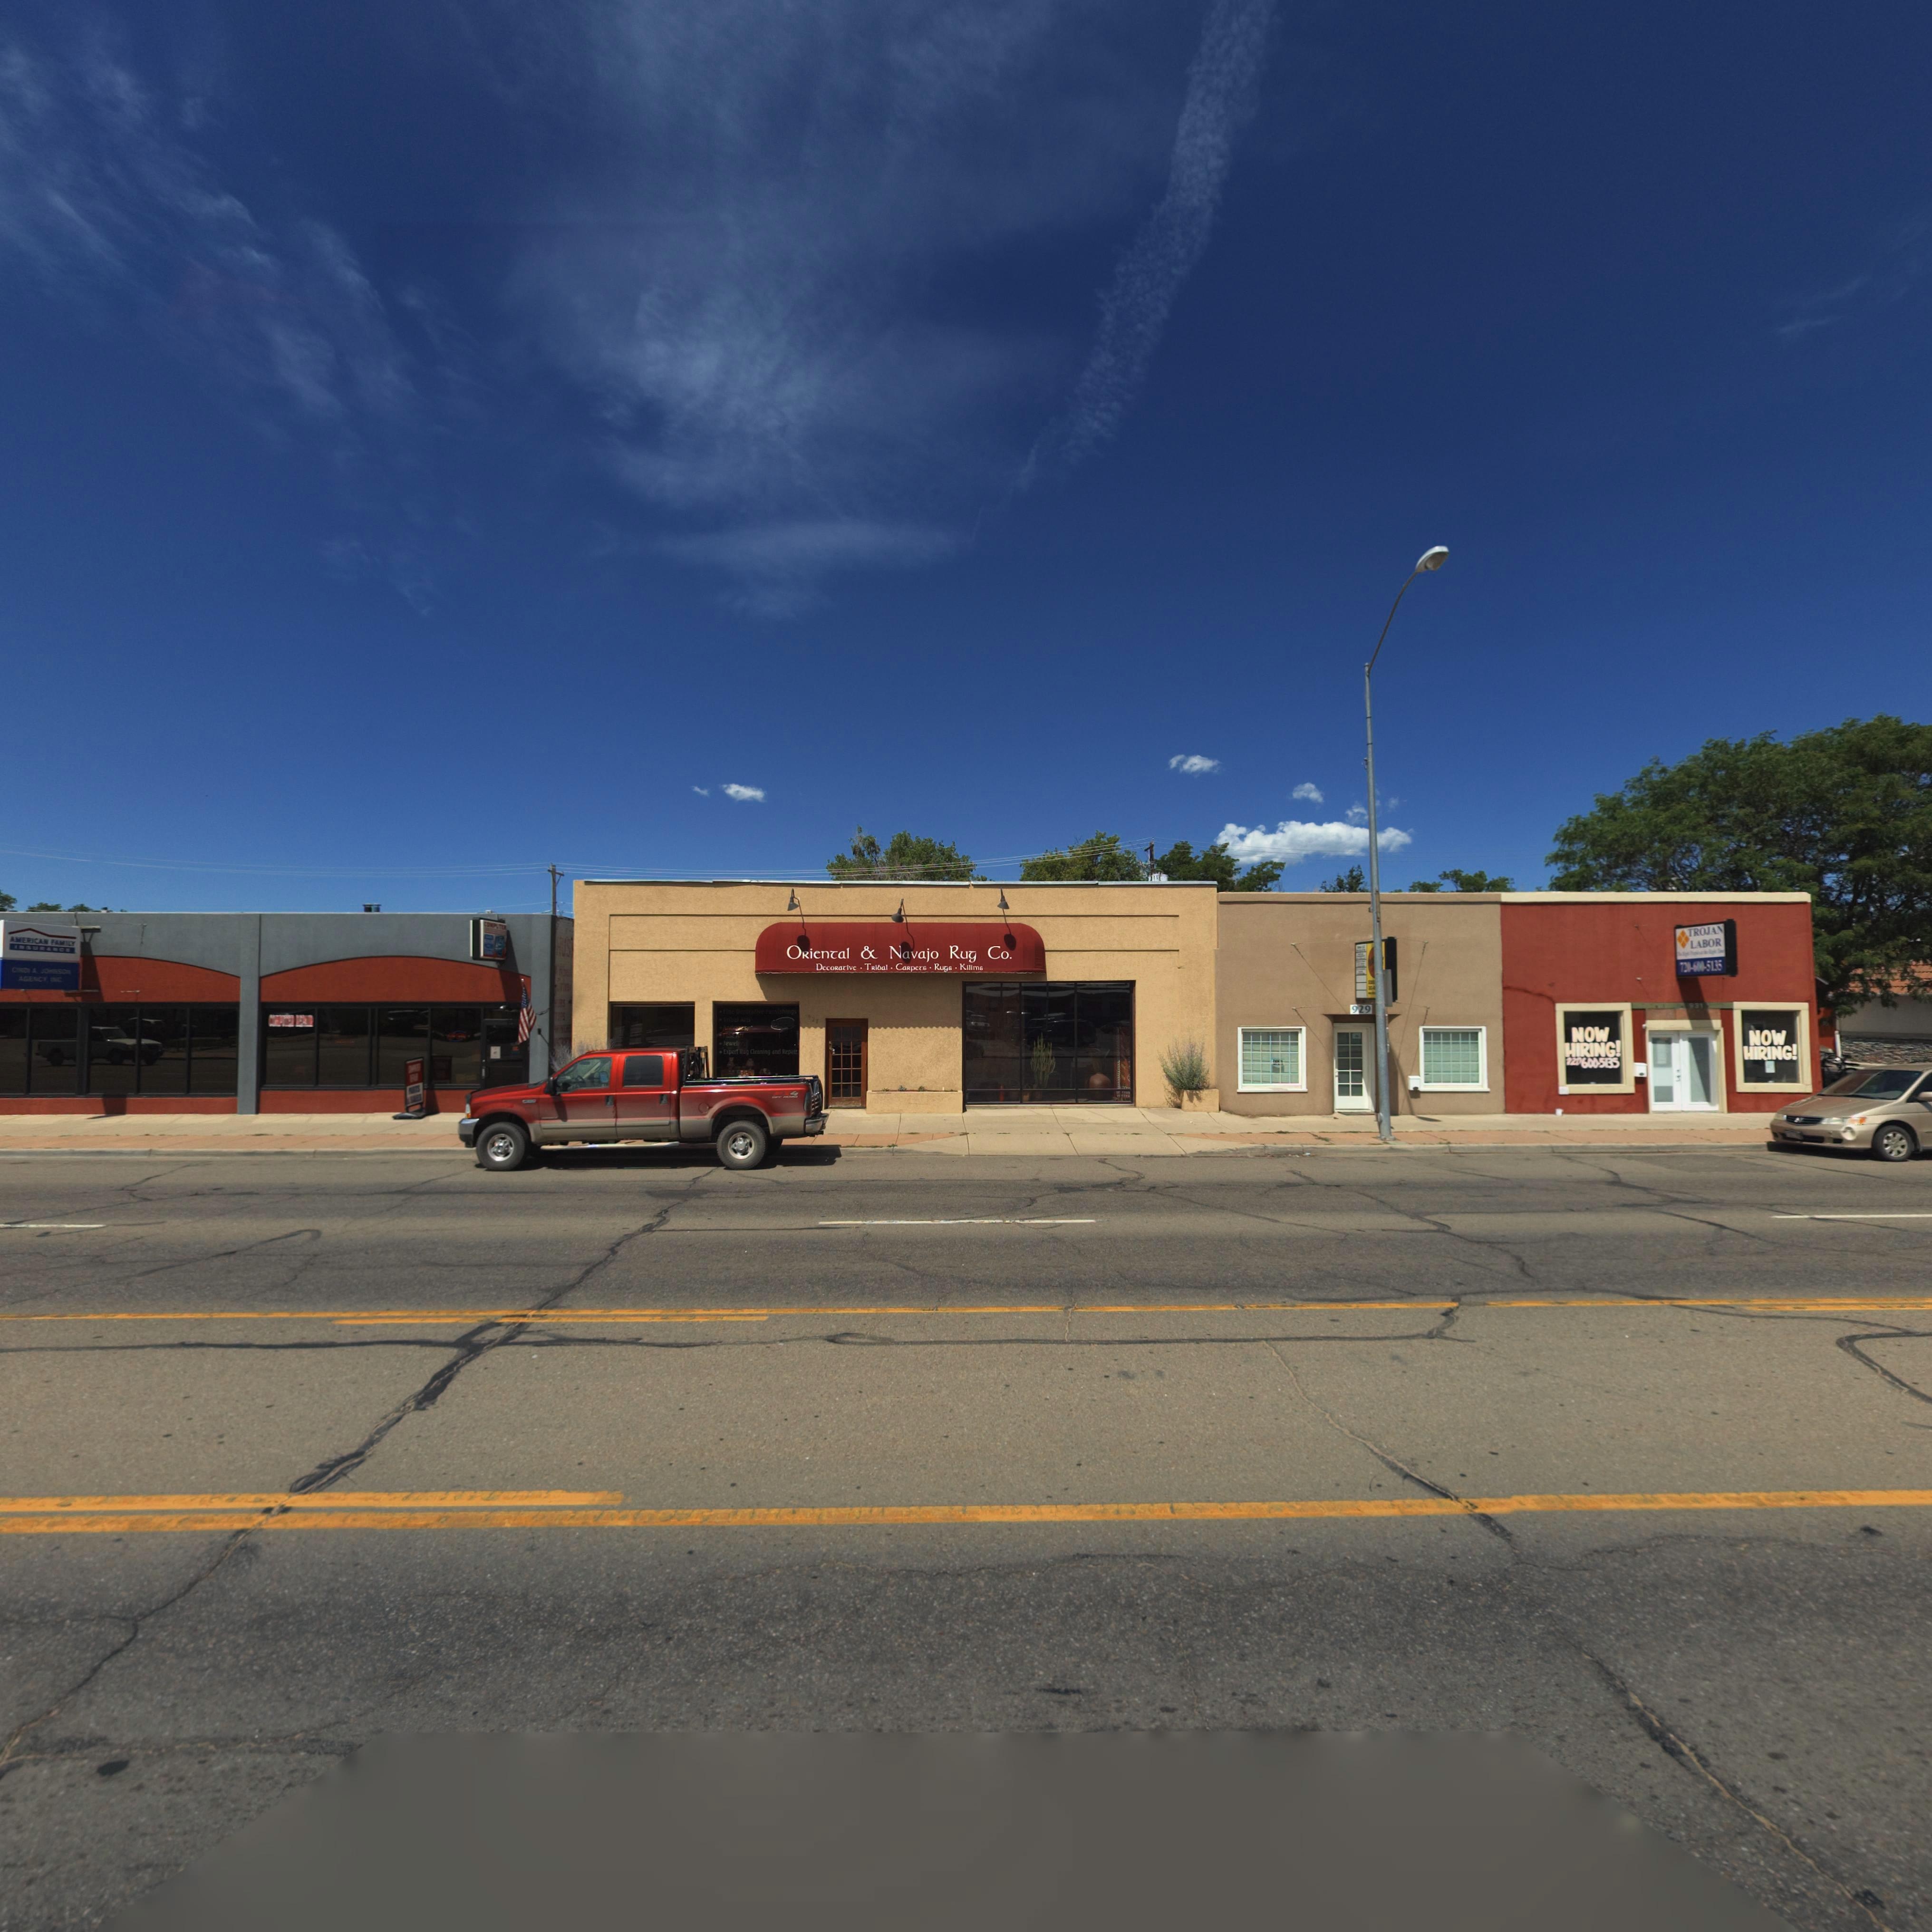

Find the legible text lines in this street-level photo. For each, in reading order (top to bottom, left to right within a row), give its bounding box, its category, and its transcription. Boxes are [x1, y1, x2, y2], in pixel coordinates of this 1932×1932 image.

[1688, 924, 1723, 937] BusinessName: TROJAN
[9, 935, 76, 947] BusinessName: AMERICAN FAMILY
[14, 944, 70, 953] BusinessName: INSURANCE
[787, 945, 1012, 964] BusinessName: ORienTal & Navajo Rug Co.
[1690, 937, 1721, 950] BusinessName: LABOR
[1352, 1005, 1371, 1014] StreetNumber: 929
[1689, 1002, 1703, 1009] StreetNumber: 931
[807, 1014, 819, 1024] StreetNumber: 927